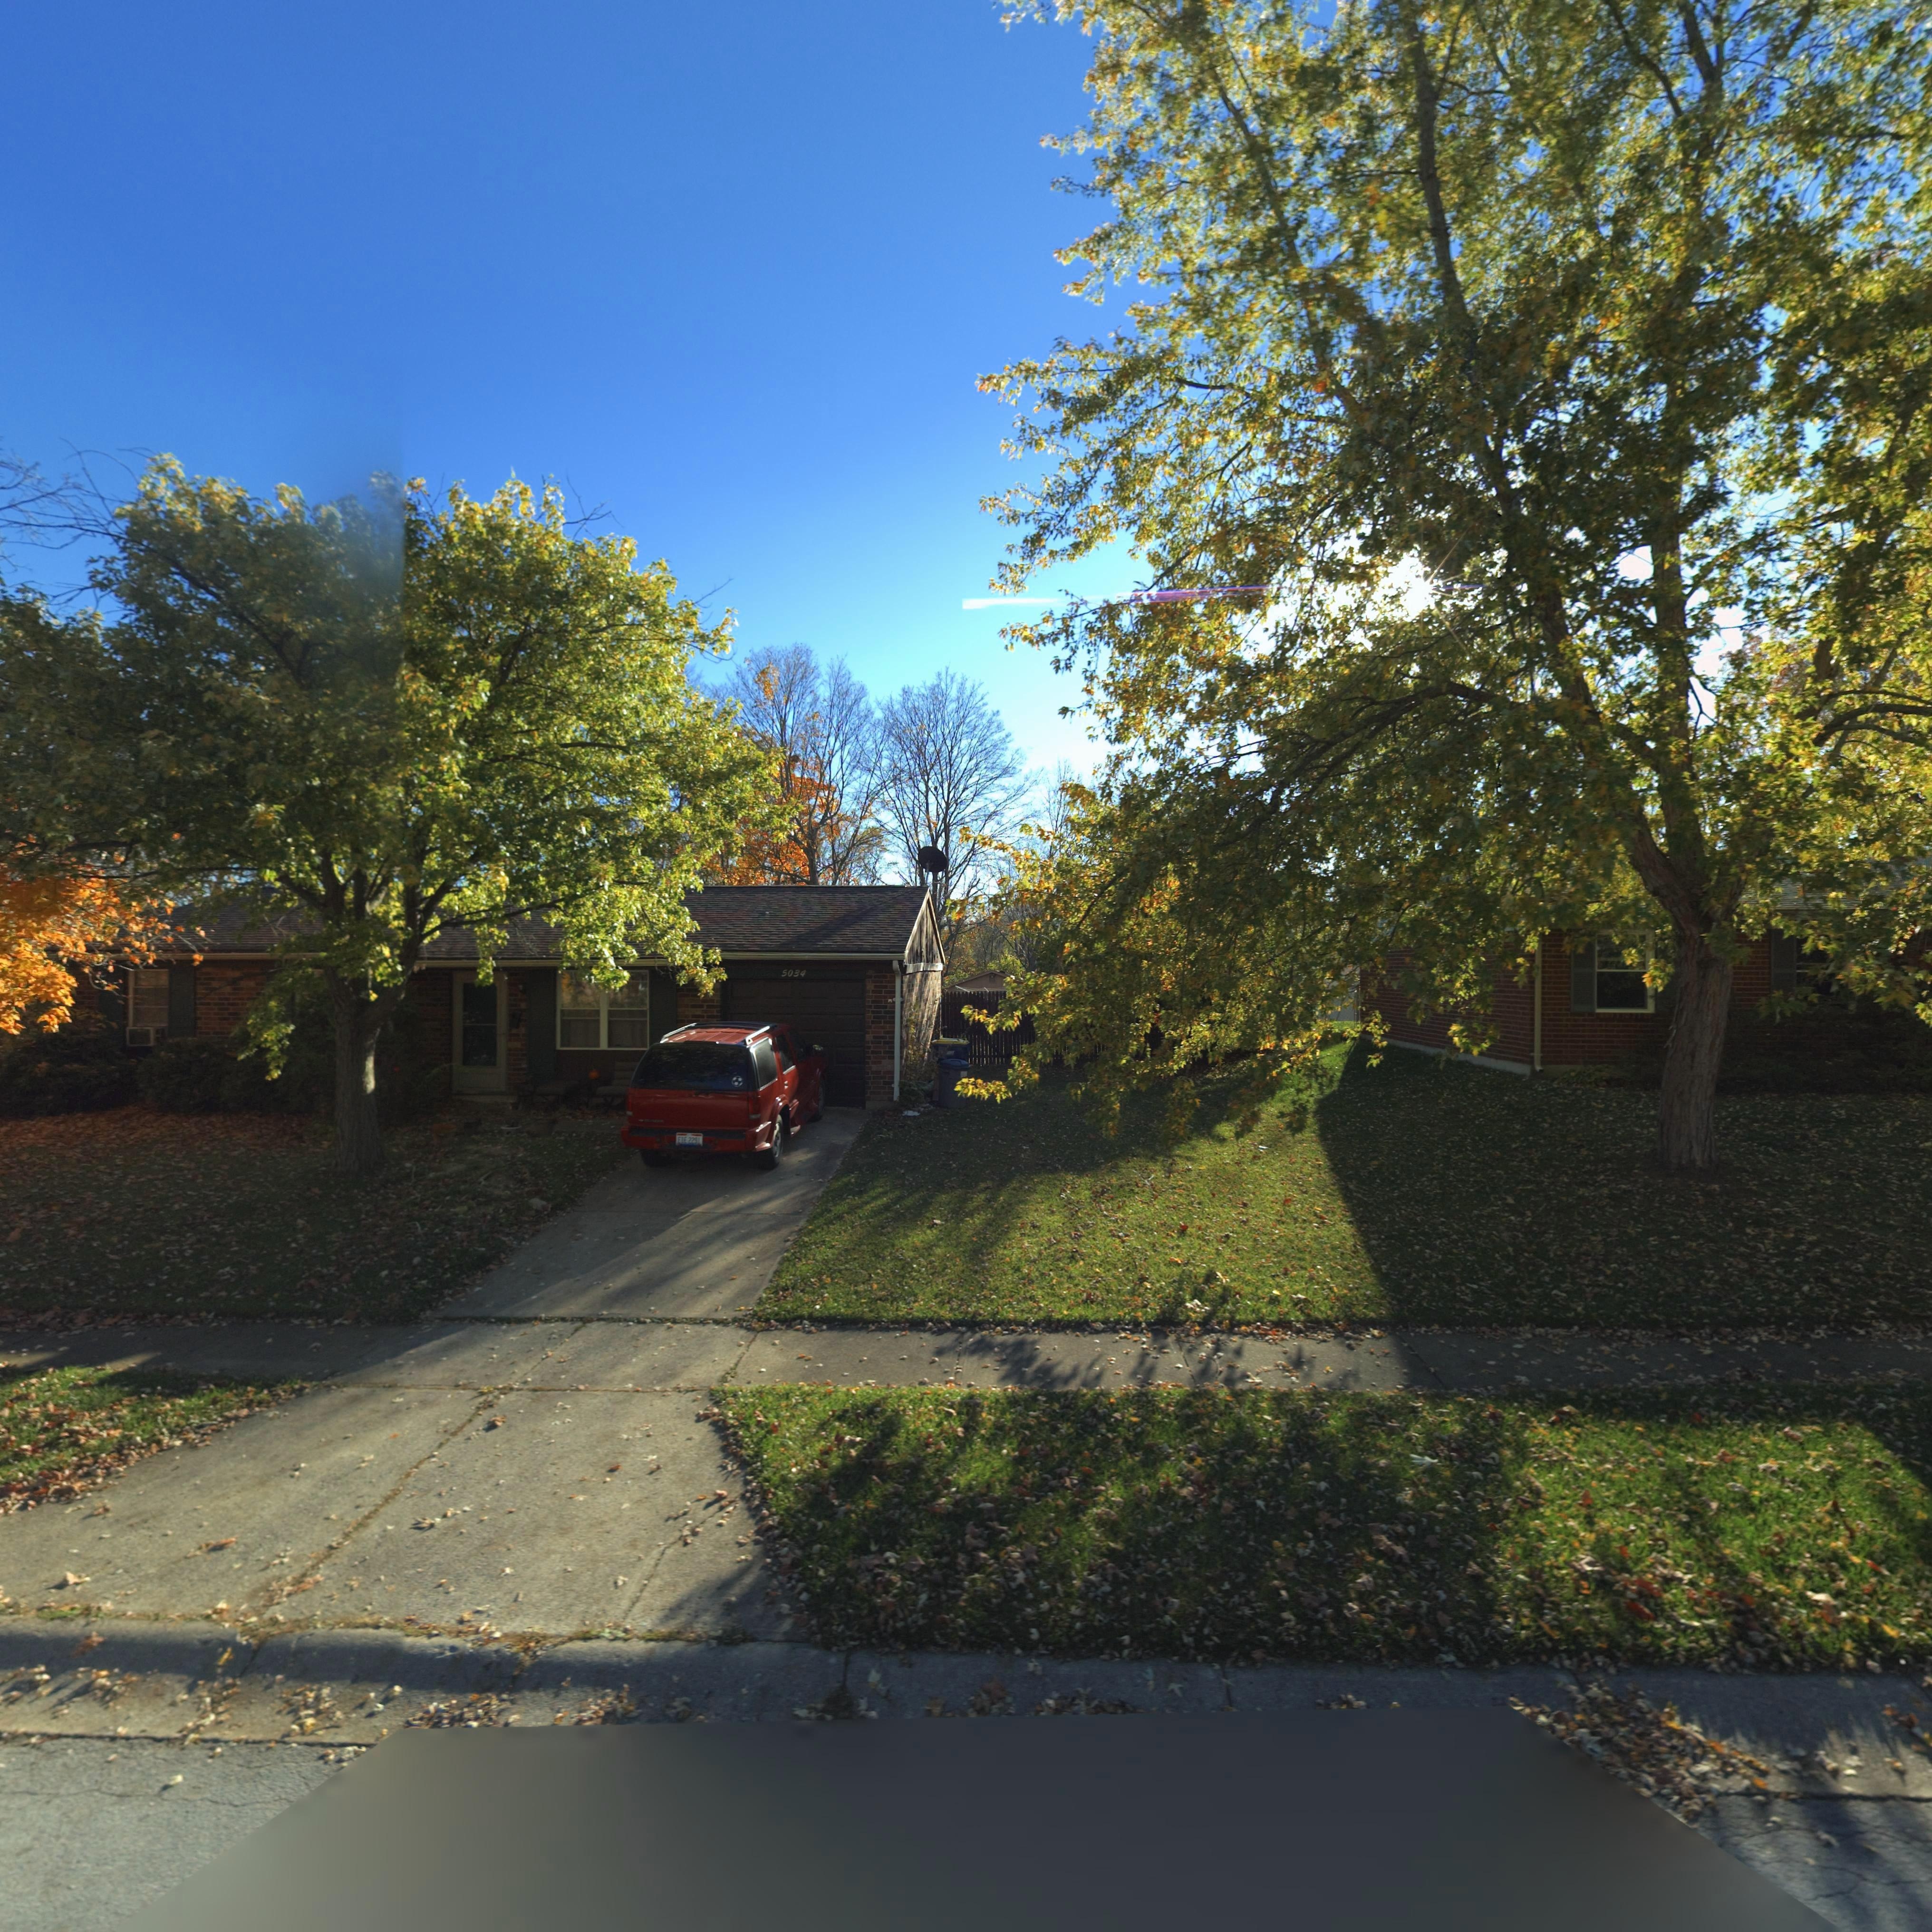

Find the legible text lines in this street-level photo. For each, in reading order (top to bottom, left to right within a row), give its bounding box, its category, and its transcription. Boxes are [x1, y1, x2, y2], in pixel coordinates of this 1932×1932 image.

[780, 969, 808, 977] StreetNumber: 5034